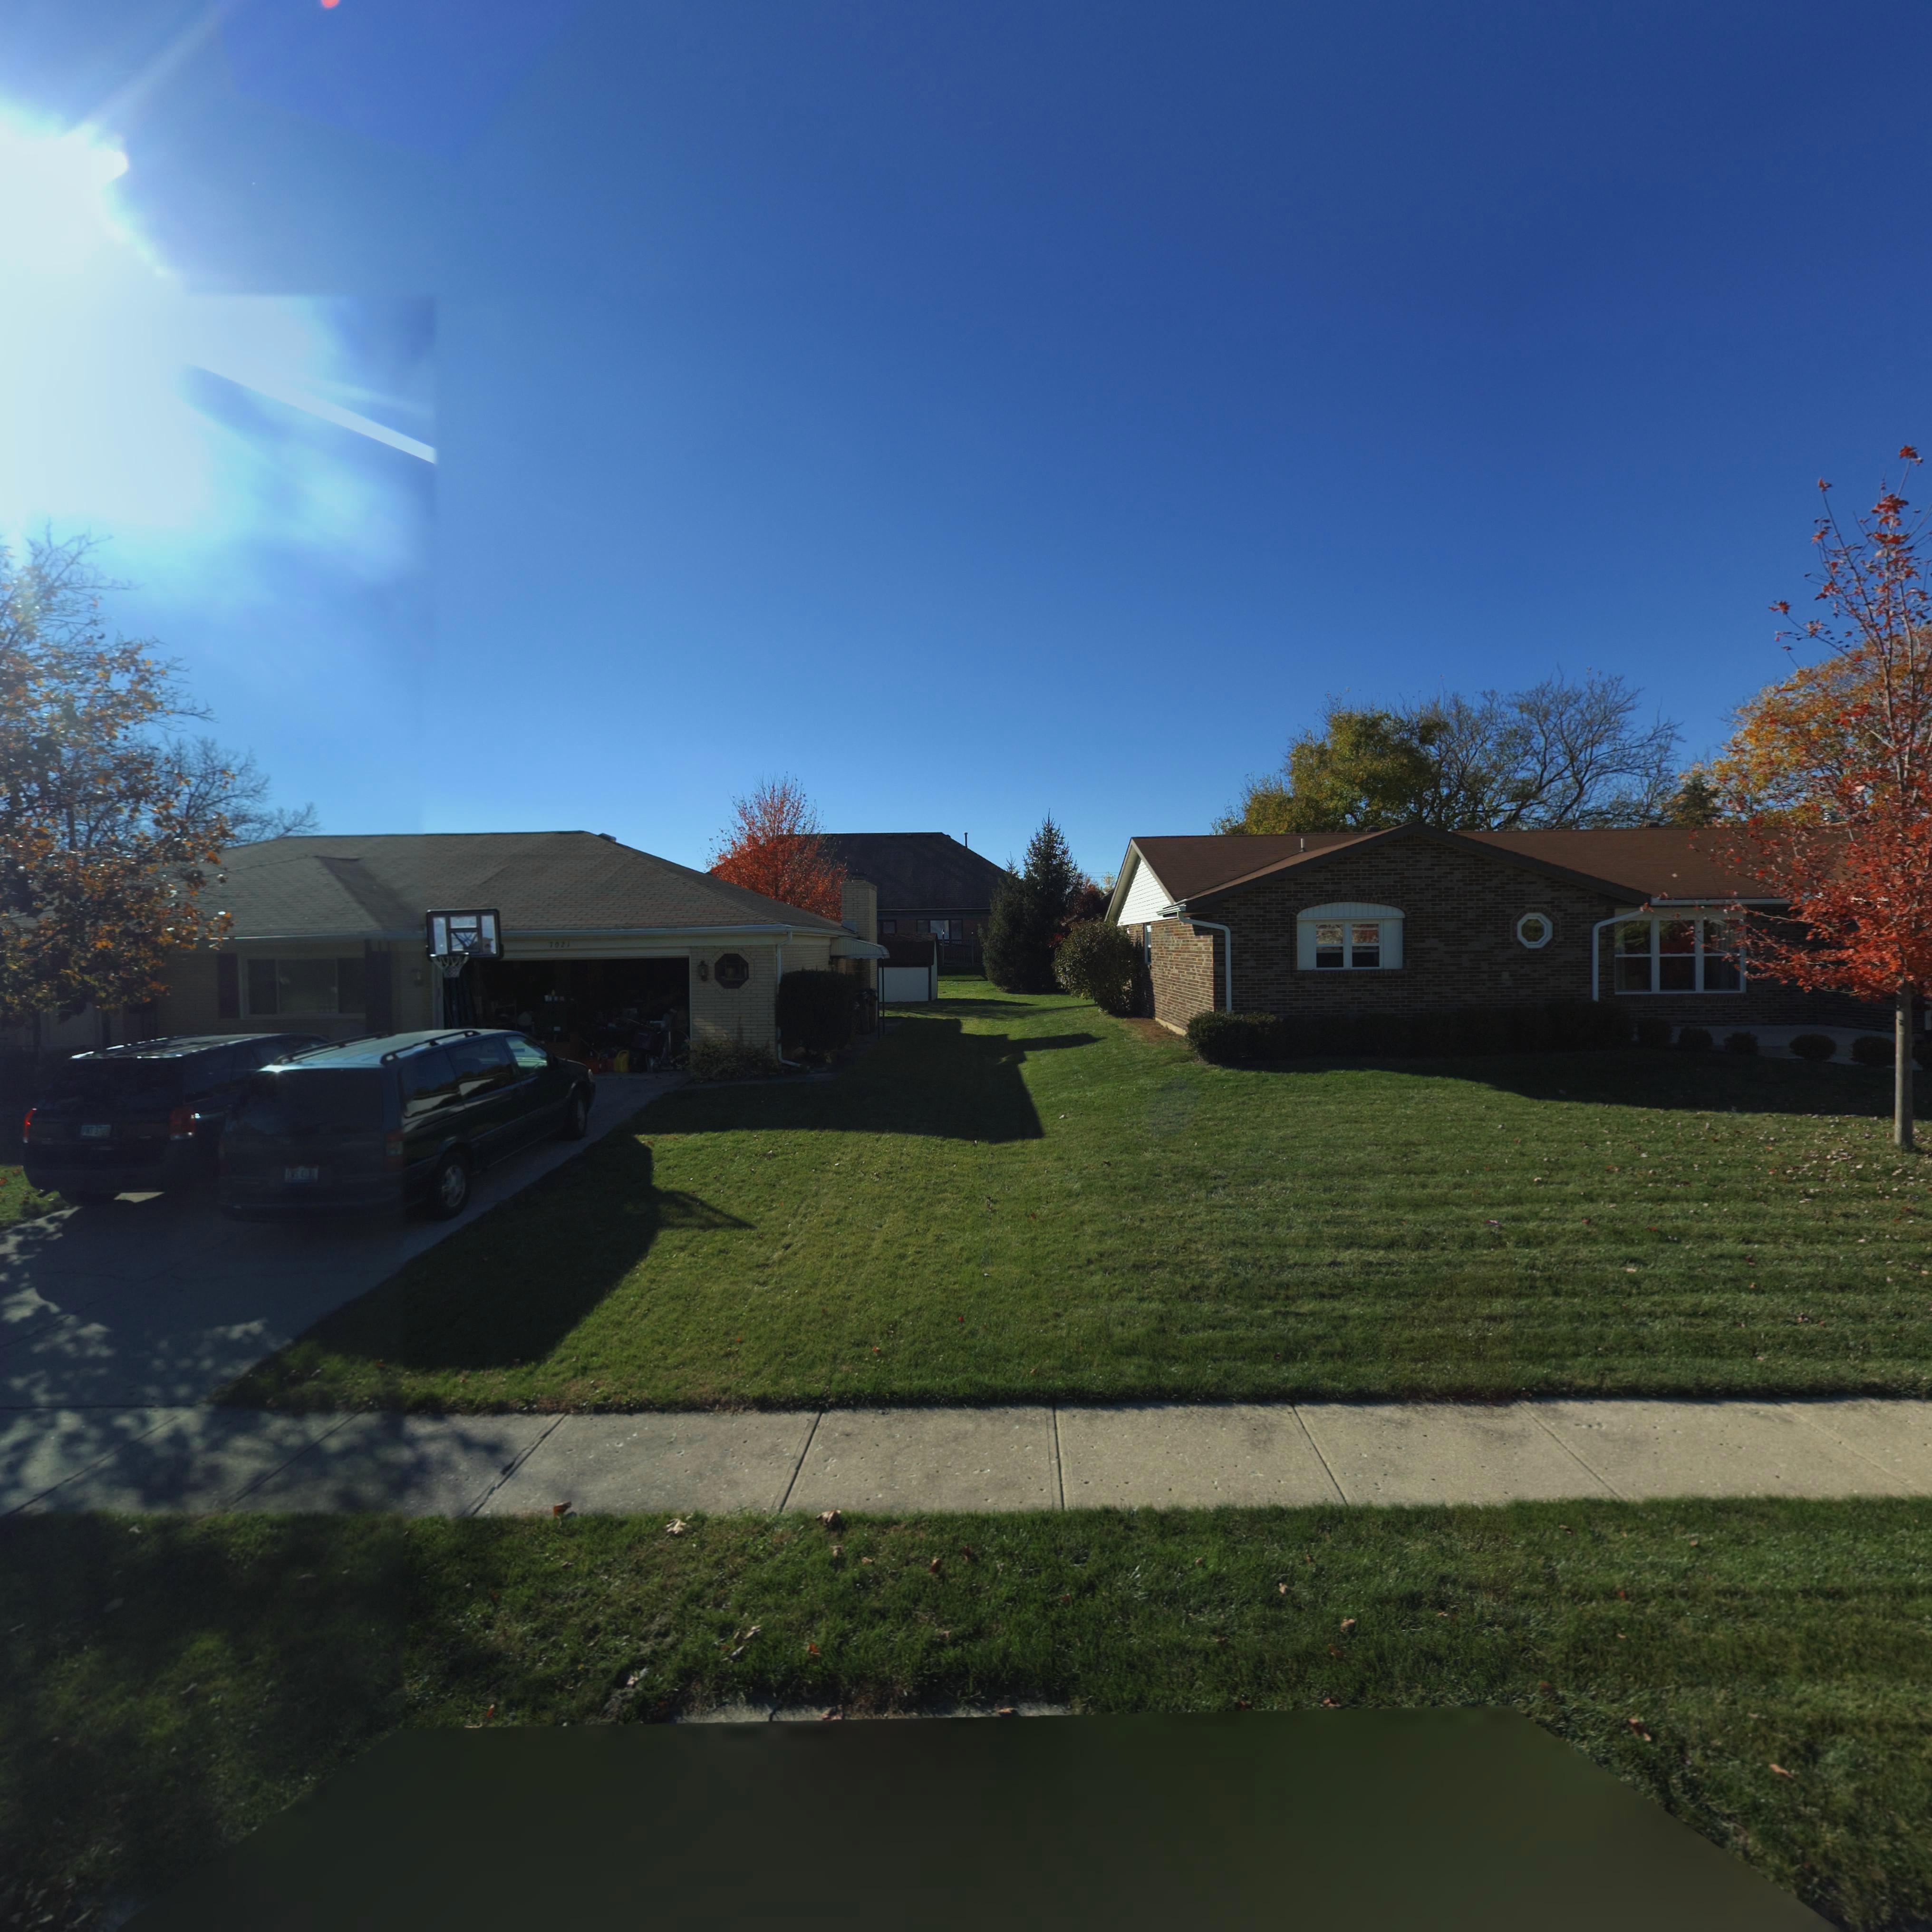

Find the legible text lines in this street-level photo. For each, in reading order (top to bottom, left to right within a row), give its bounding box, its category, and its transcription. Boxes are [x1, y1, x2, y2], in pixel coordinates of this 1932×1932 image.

[549, 940, 570, 948] StreetNumber: 7021